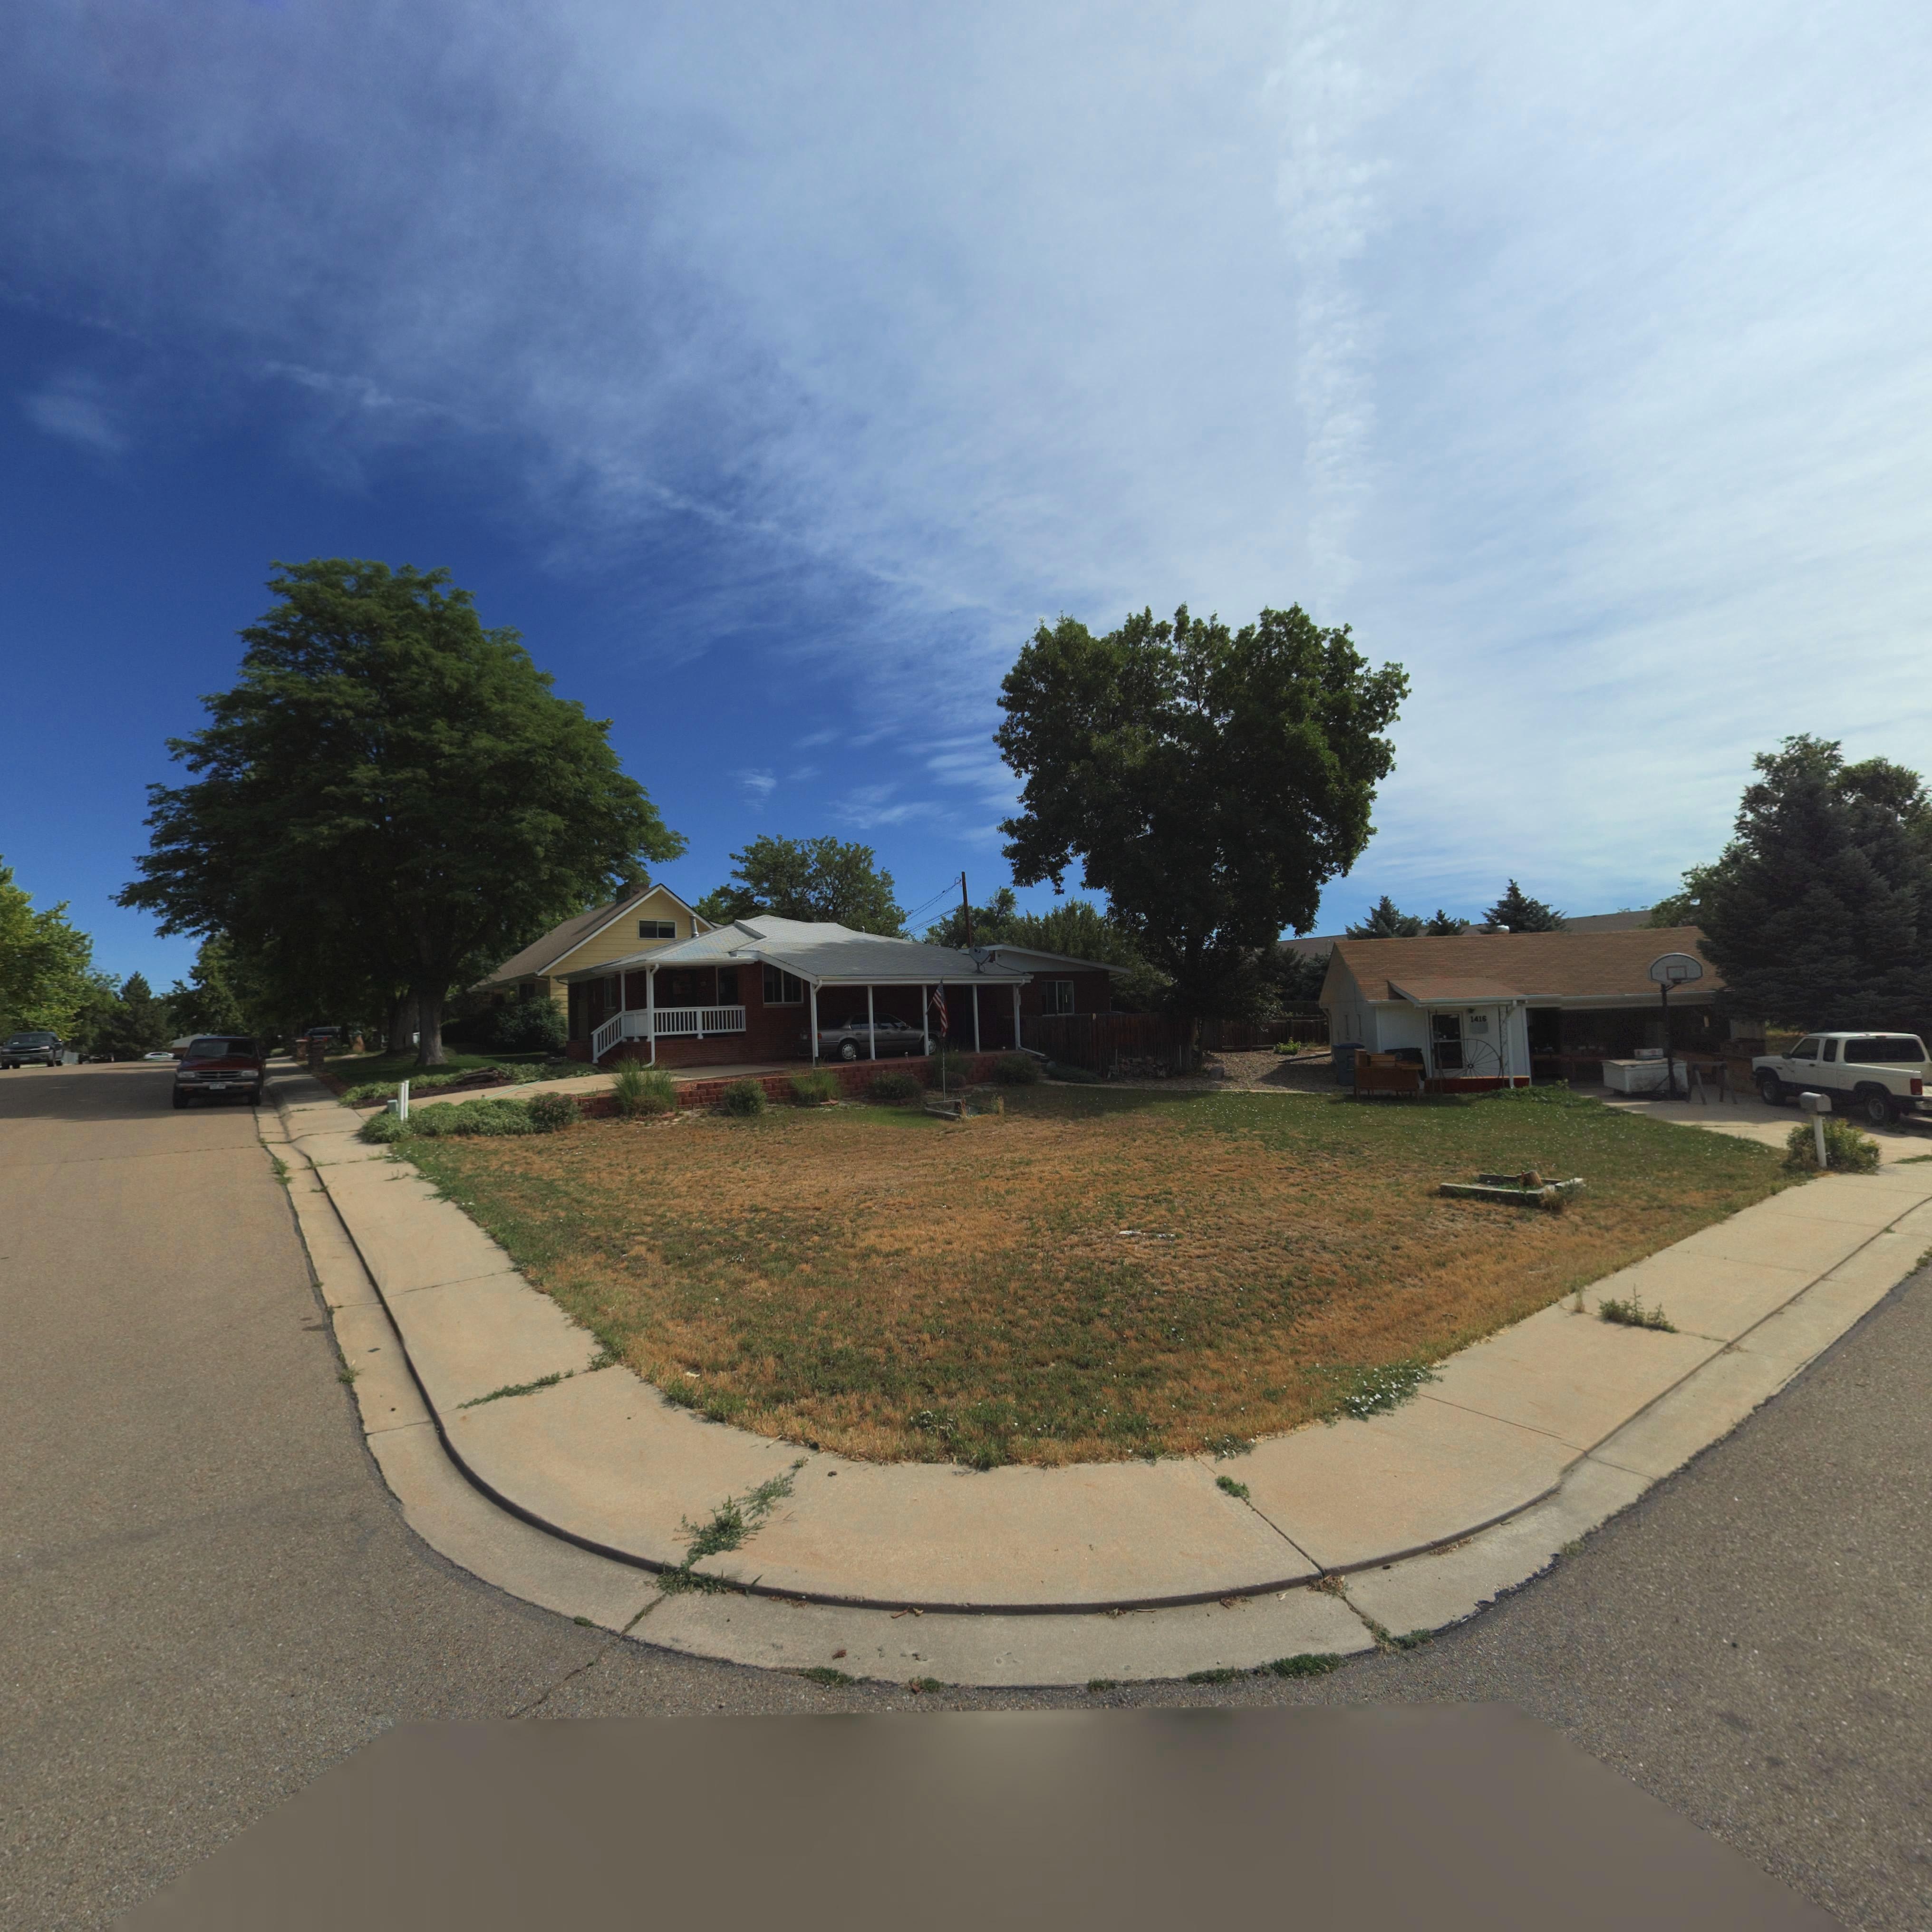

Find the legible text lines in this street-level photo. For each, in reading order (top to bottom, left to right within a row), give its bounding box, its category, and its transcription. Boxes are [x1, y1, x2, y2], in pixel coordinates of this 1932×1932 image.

[1470, 1015, 1487, 1023] StreetNumber:  1416